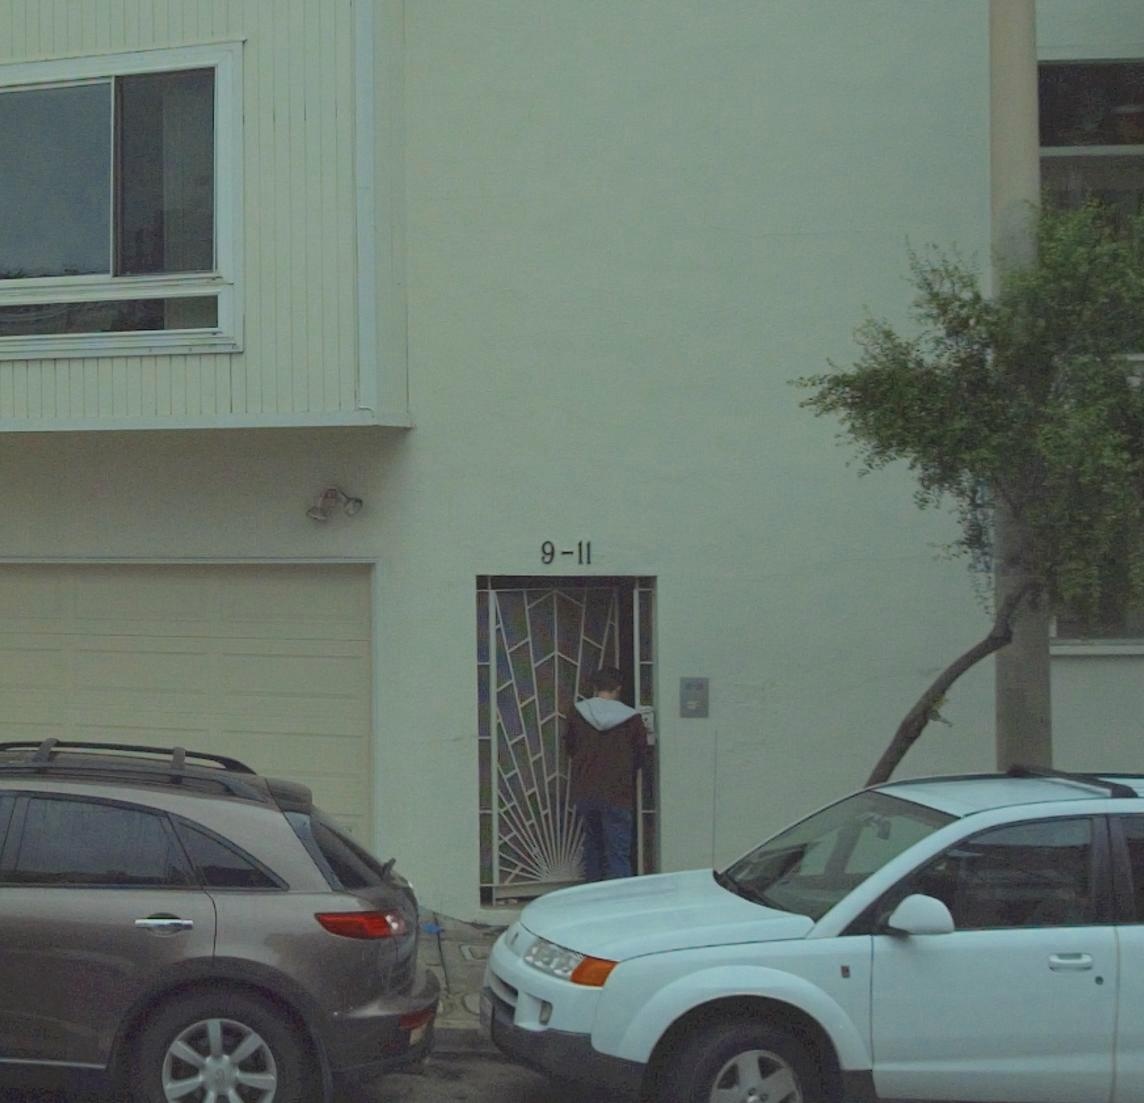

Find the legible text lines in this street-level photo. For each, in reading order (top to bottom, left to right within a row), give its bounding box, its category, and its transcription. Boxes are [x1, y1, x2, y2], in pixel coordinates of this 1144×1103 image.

[539, 538, 557, 566] StreetNumber: 9
[575, 538, 594, 567] StreetNumber: 11